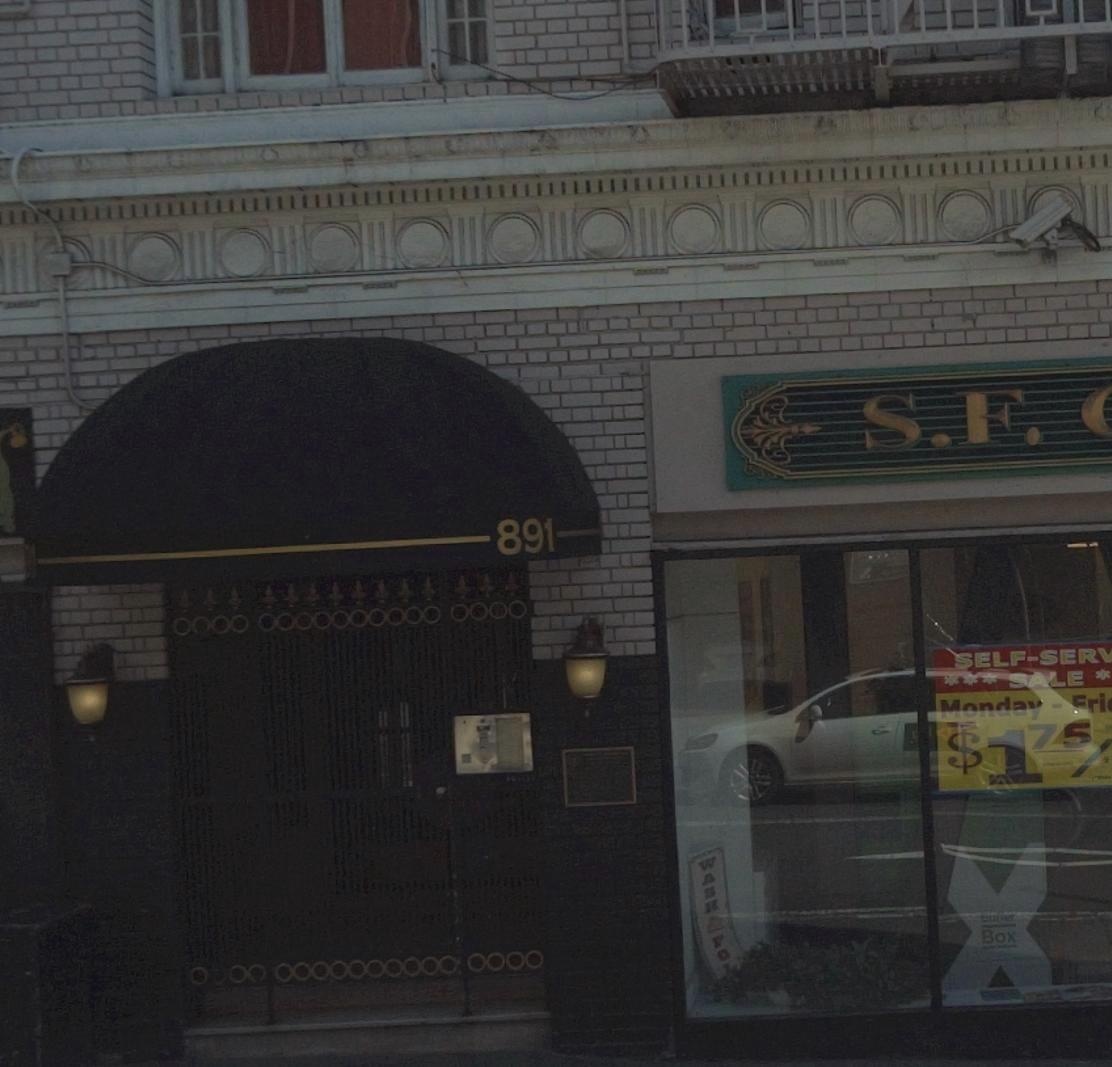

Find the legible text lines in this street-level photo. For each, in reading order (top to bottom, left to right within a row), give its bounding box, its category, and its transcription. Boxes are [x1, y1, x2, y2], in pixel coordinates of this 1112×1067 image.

[858, 384, 1046, 452] None: S.F.
[495, 515, 557, 557] StreetNumber: 891
[952, 647, 1100, 670] None: SELF SER
[1007, 669, 1086, 690] None: SALE
[939, 691, 1108, 722] None: Monday - Fri
[1026, 720, 1094, 752] None: 75
[942, 727, 1049, 785] None: $1
[696, 854, 724, 917] None: WASH
[980, 928, 1017, 945] None: Box